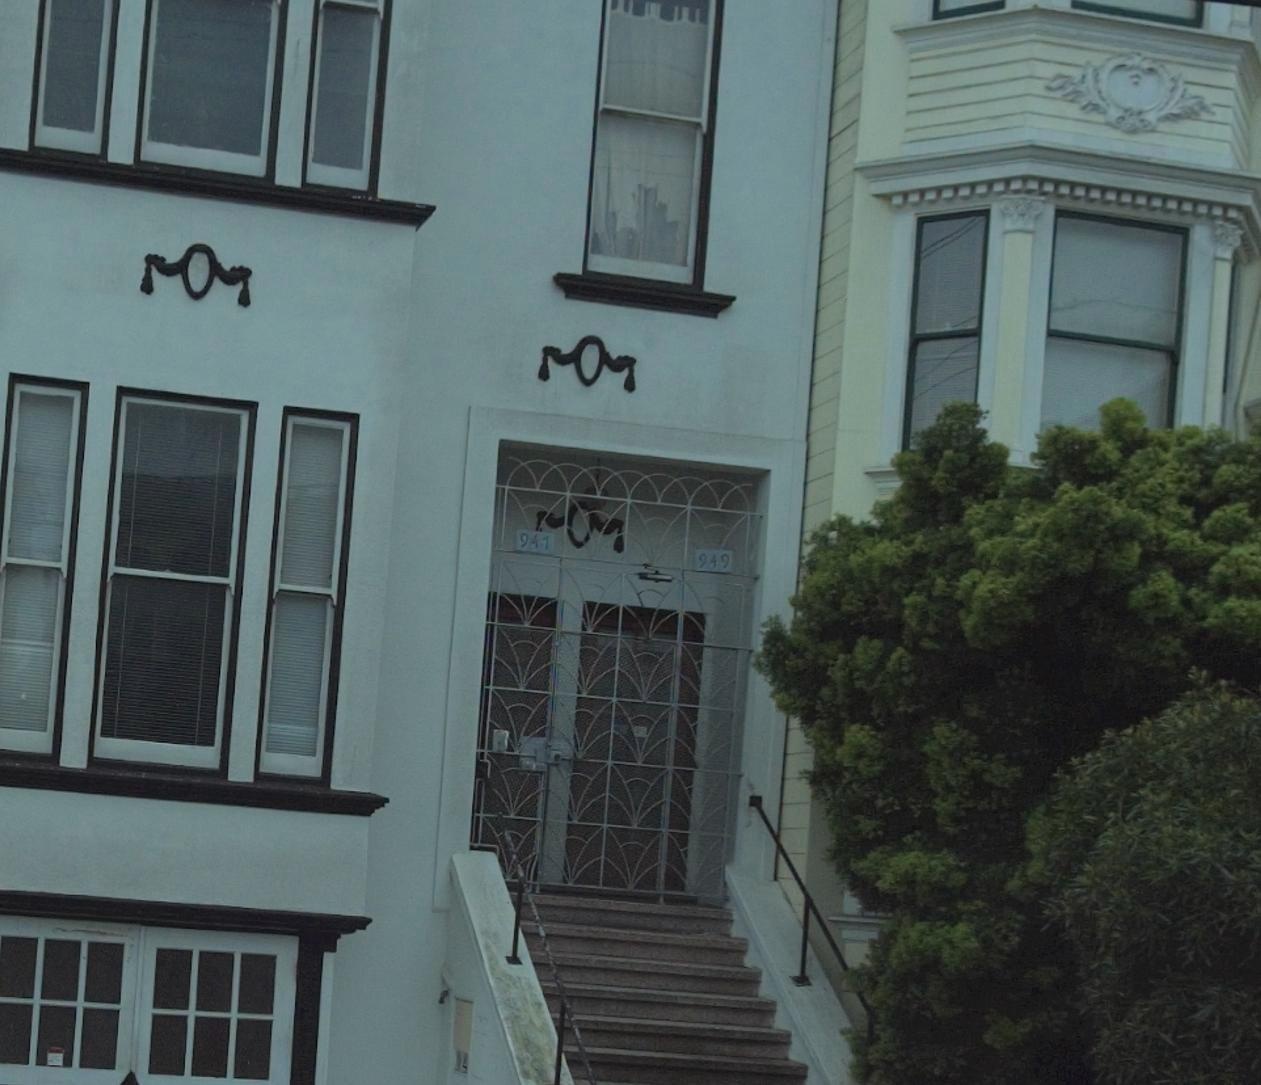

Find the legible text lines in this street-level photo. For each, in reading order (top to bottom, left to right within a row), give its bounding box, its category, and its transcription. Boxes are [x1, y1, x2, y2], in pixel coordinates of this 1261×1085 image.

[517, 530, 552, 554] StreetNumber: 947
[695, 551, 732, 571] StreetNumber: 949